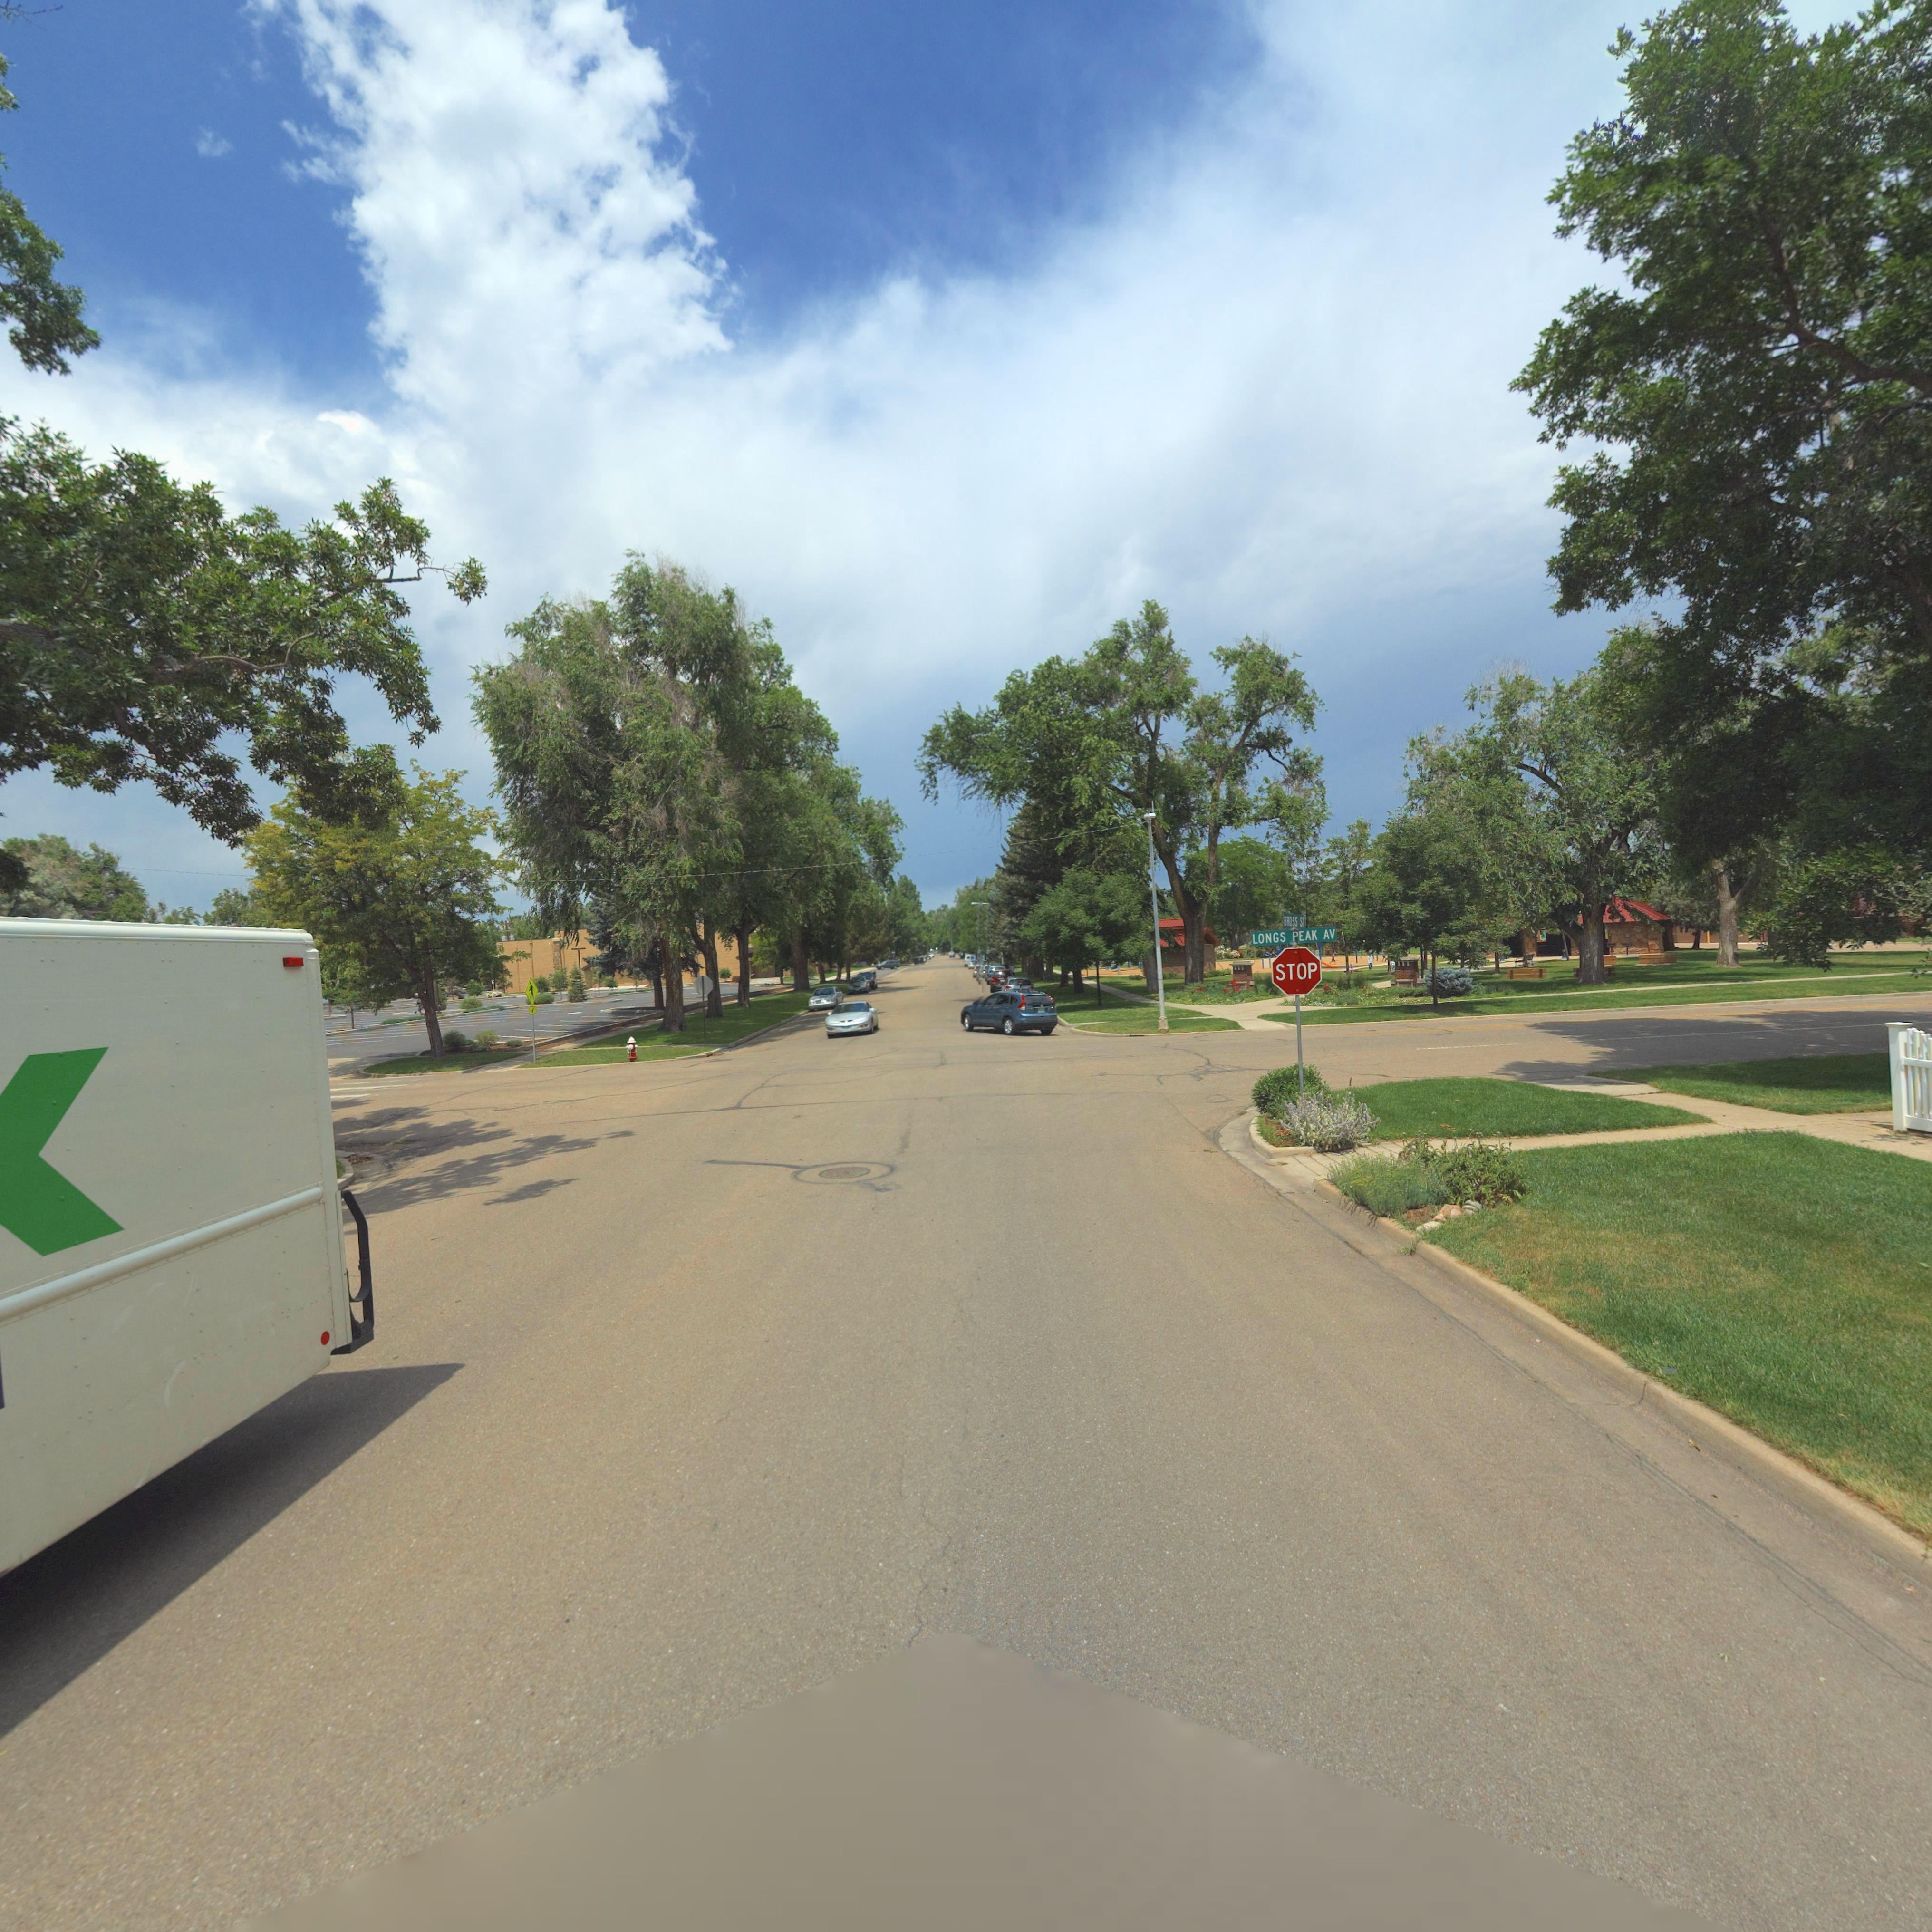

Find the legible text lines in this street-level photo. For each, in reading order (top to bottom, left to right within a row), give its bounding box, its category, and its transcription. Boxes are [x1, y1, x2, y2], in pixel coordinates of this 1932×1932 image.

[1284, 915, 1305, 927] StreetName: BROSS ST
[1252, 928, 1335, 944] StreetName: LONGS PEAK AV           